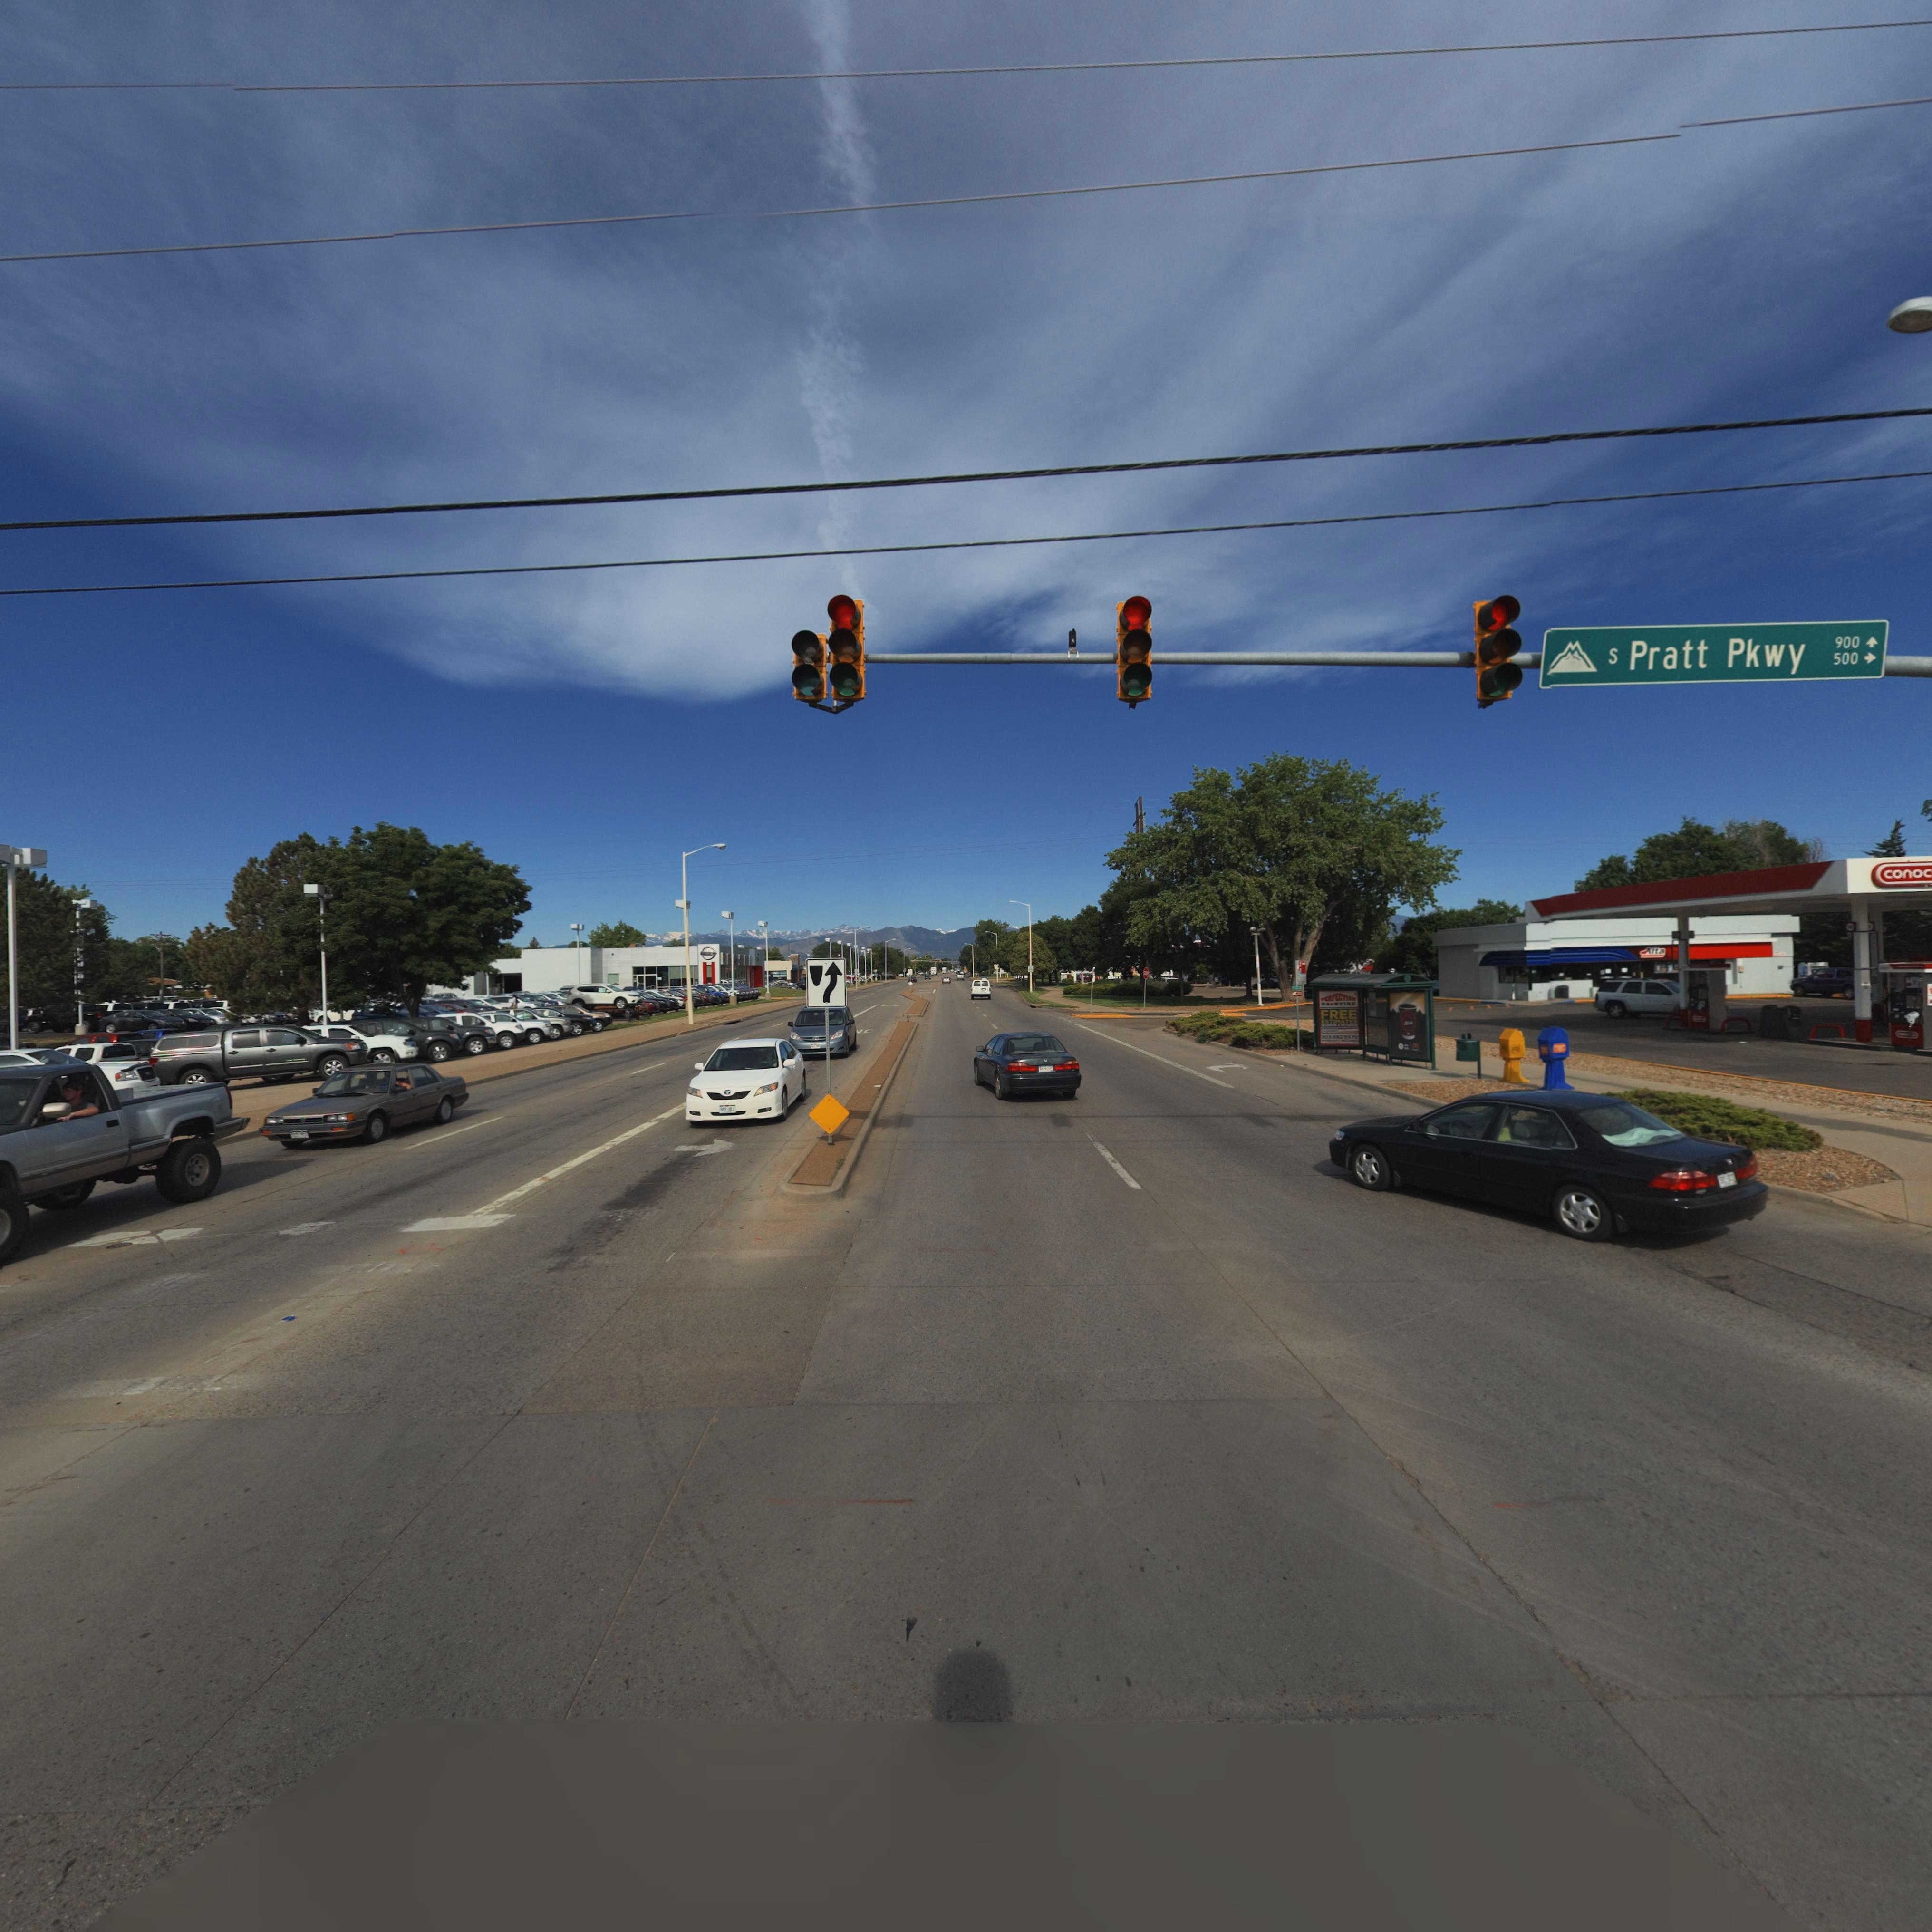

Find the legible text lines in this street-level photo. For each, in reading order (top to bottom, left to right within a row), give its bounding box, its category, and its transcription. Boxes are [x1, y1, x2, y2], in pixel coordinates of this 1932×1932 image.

[1834, 635, 1860, 649] StreetNumberRange: 900
[1607, 637, 1808, 676] StreetName: S Pratt Pkwy
[1833, 651, 1878, 665] StreetNumberRange: 500->
[1883, 868, 1932, 879] BusinessName: conoc
[1643, 947, 1665, 954] BusinessName: Alta